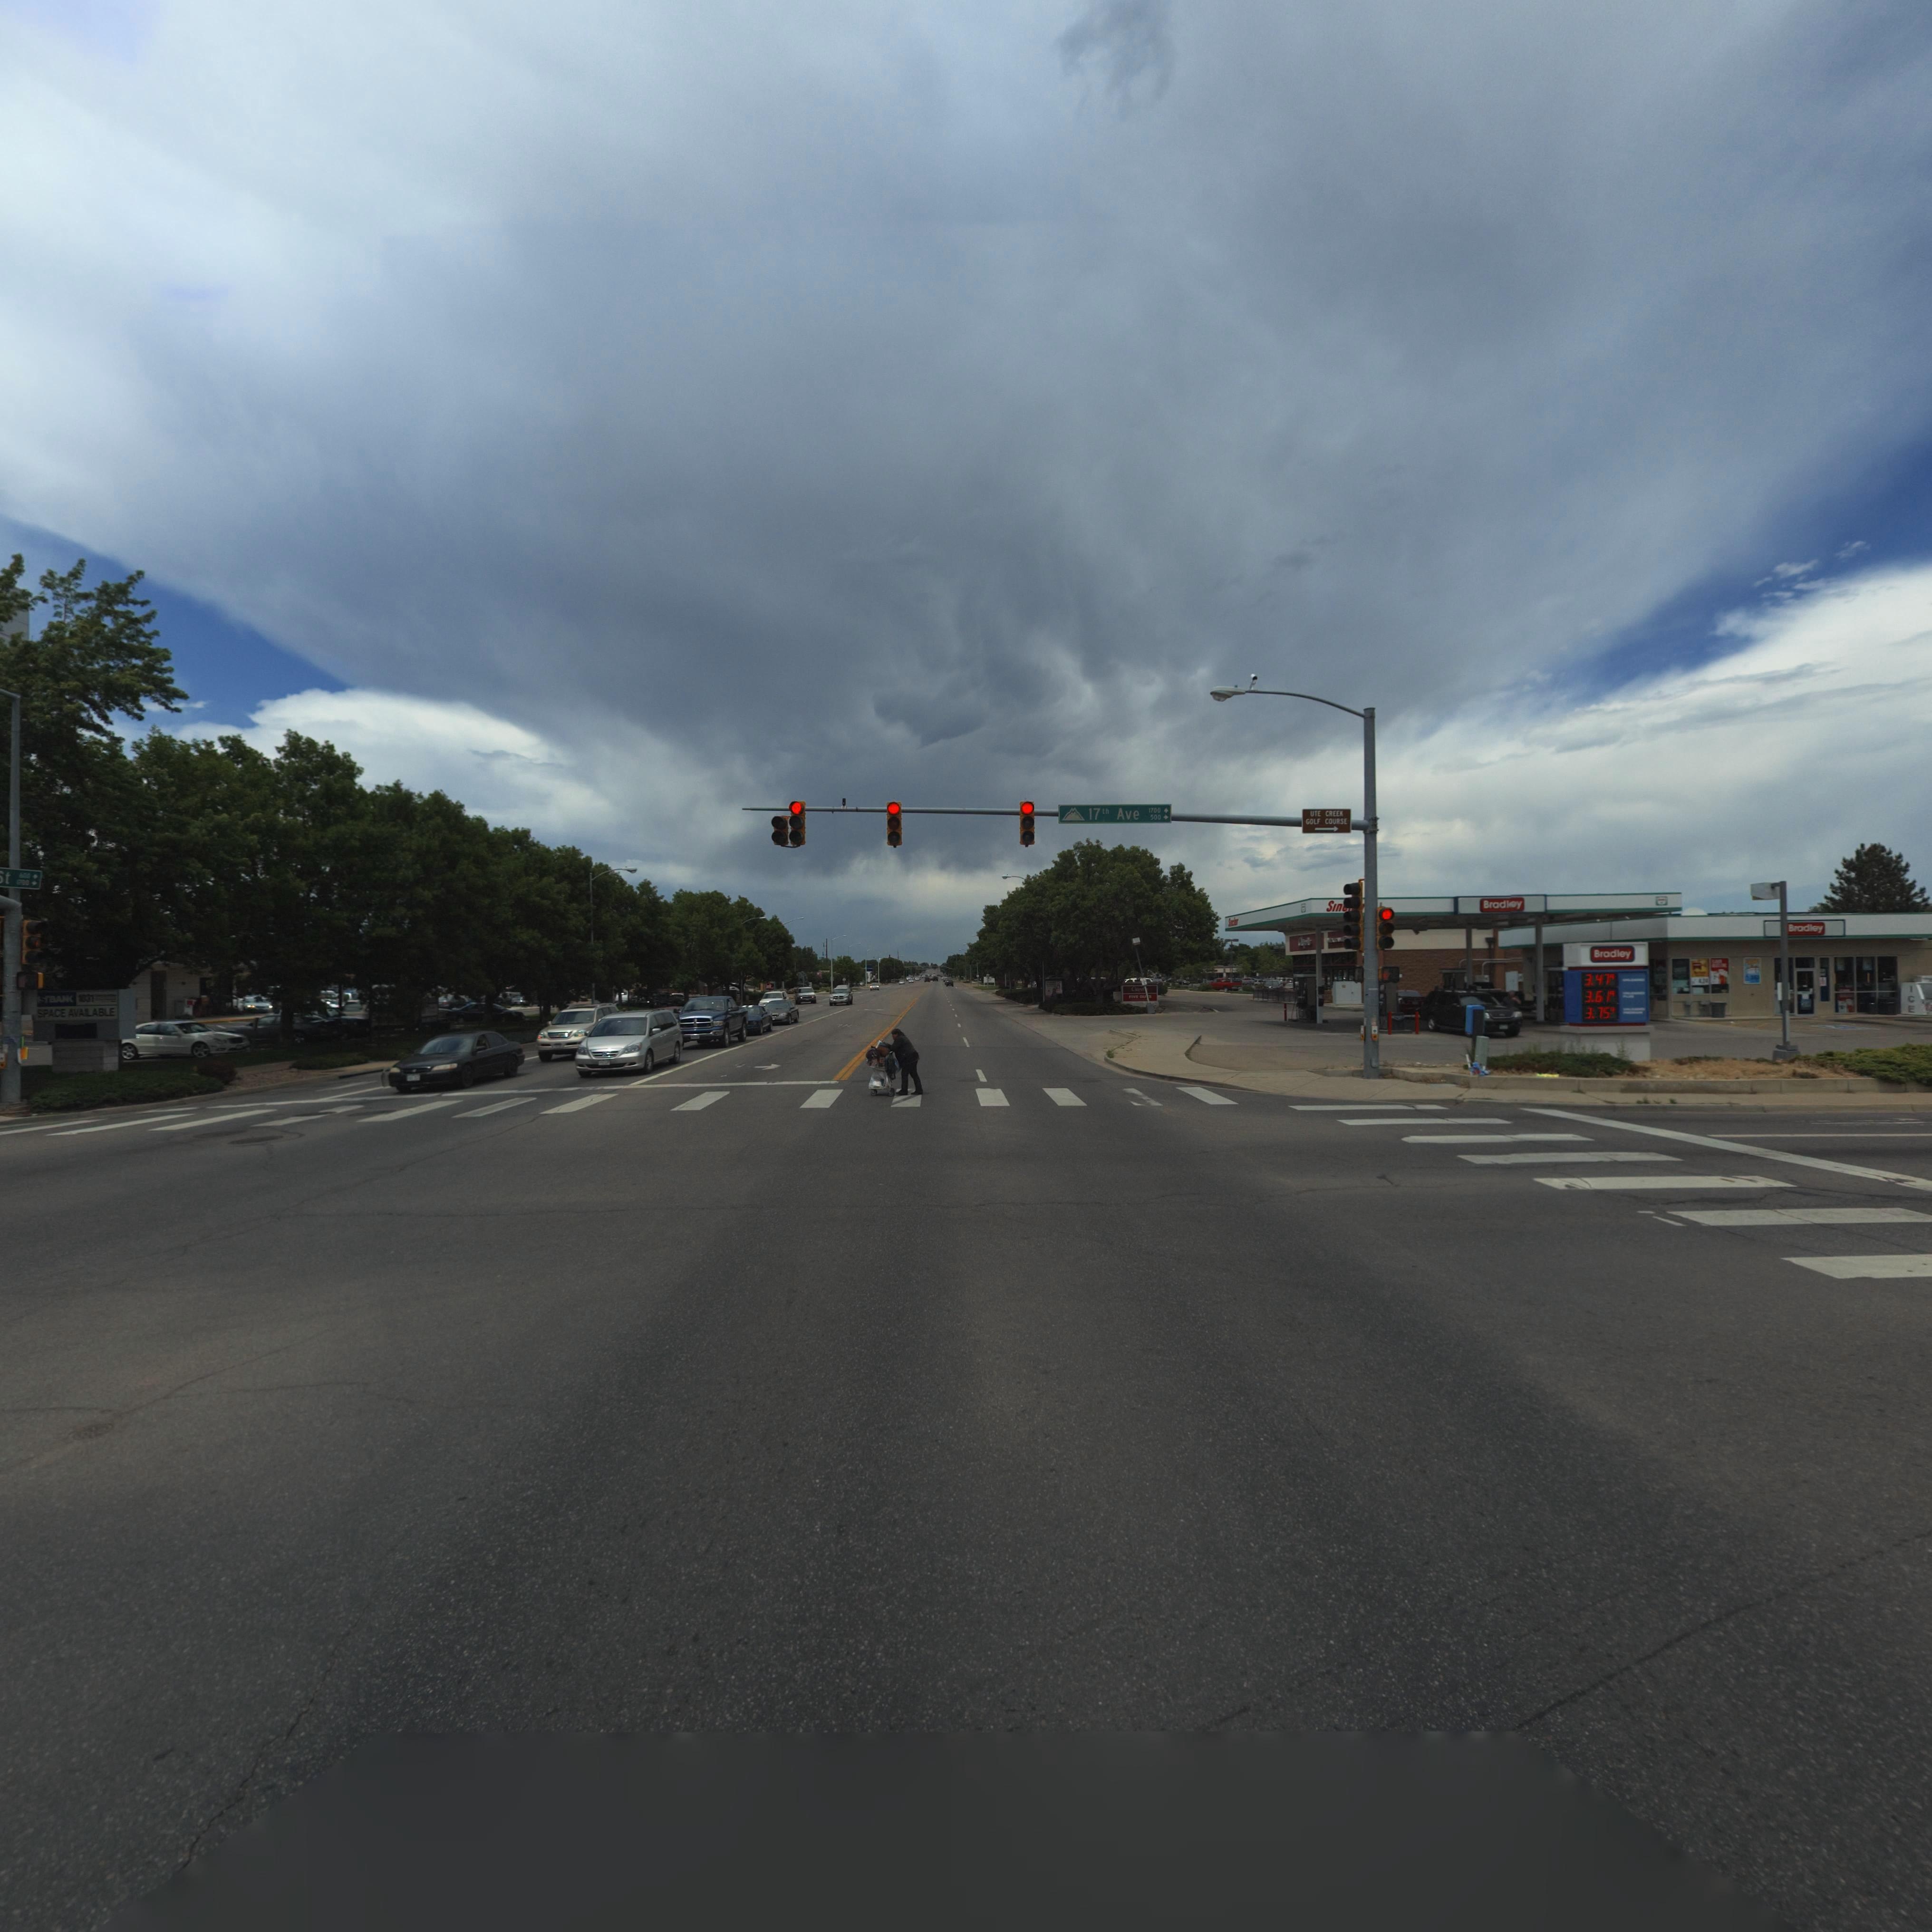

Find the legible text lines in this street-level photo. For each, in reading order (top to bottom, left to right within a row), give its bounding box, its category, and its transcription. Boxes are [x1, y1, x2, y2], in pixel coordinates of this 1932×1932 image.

[1088, 807, 1140, 820] StreetName: 17th Ave
[1149, 807, 1160, 813] StreetNumberRange: 1700
[1150, 814, 1169, 820] StreetNumberRange: *00->
[4, 871, 10, 885] StreetName: t
[1326, 899, 1348, 912] BusinessName: SIn*
[1483, 899, 1522, 909] BusinessName: Bradl**y
[1788, 923, 1824, 934] BusinessName: B**dl*y
[1594, 948, 1632, 960] BusinessName: B**dley
[1131, 985, 1148, 992] BusinessName: Ch*p****
[35, 994, 74, 1004] BusinessName: *S*B***
[1129, 994, 1151, 999] BusinessName: *I** G***